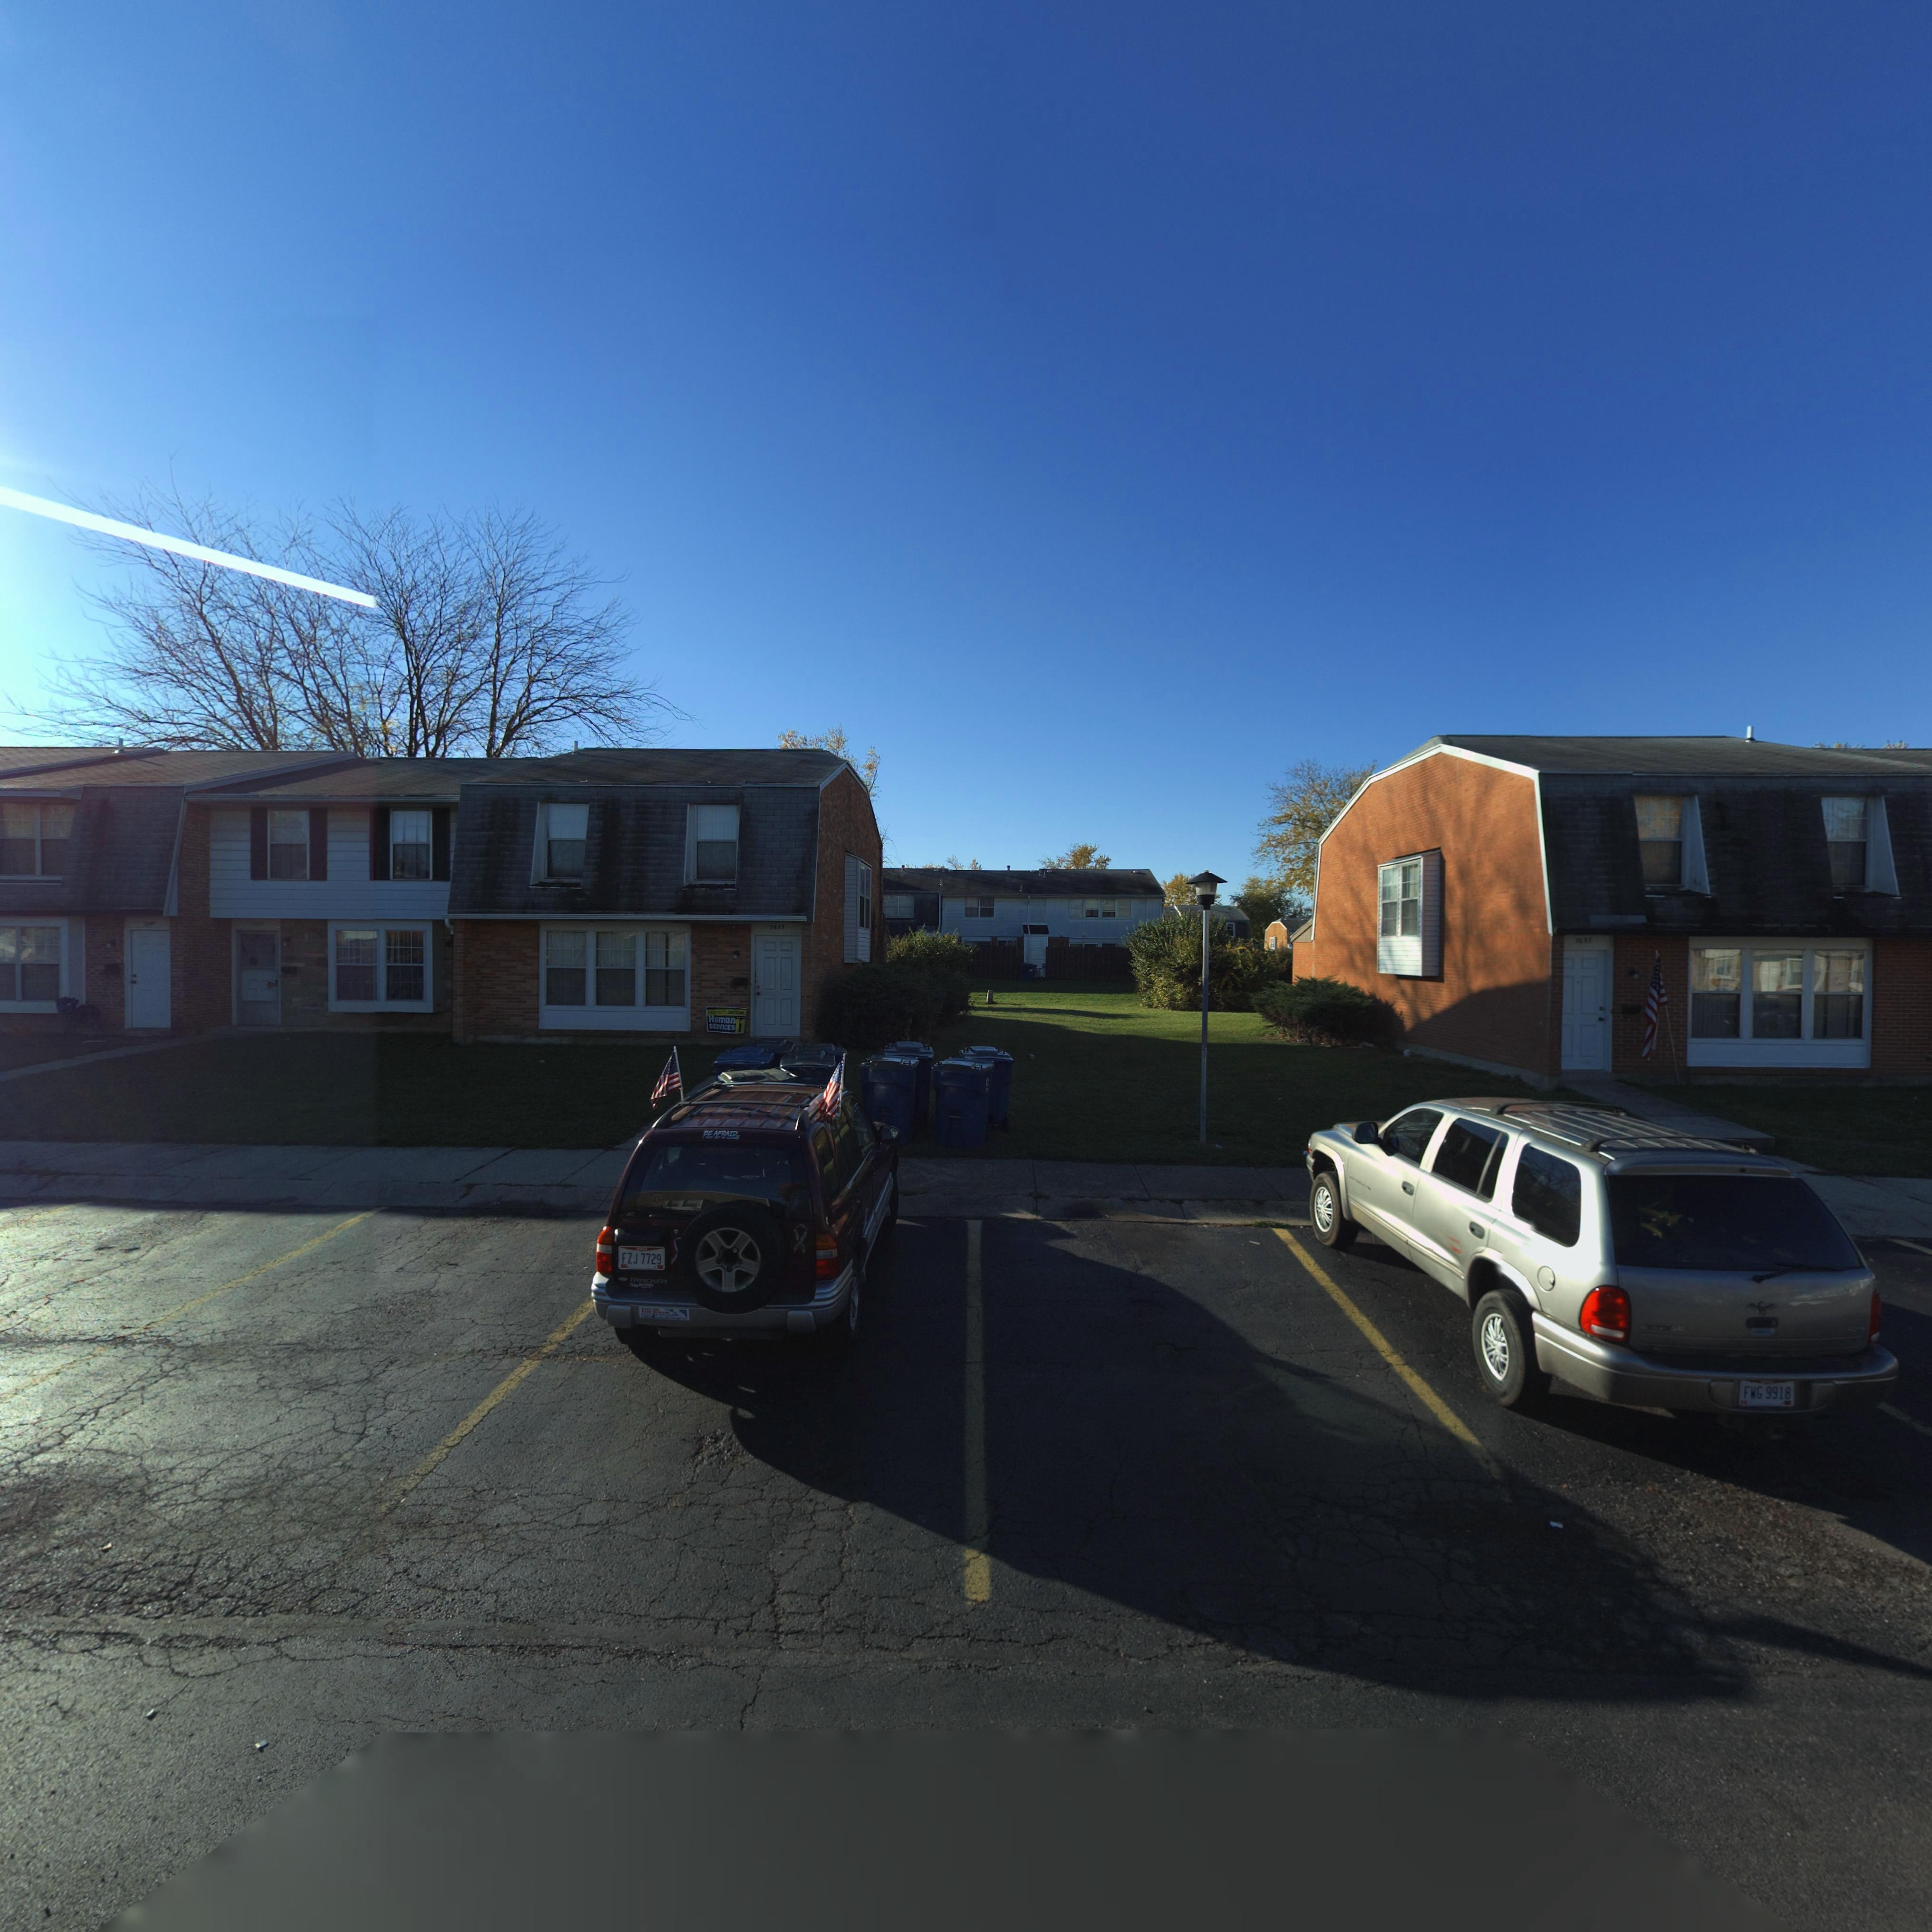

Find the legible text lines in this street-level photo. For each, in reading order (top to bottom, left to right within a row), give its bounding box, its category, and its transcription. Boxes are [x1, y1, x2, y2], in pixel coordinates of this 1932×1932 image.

[141, 920, 156, 927] StreetNumber: 7649
[251, 920, 265, 927] StreetNumber: 76**
[770, 924, 785, 930] StreetNumber: 7653
[1575, 936, 1593, 945] StreetNumber: 7657